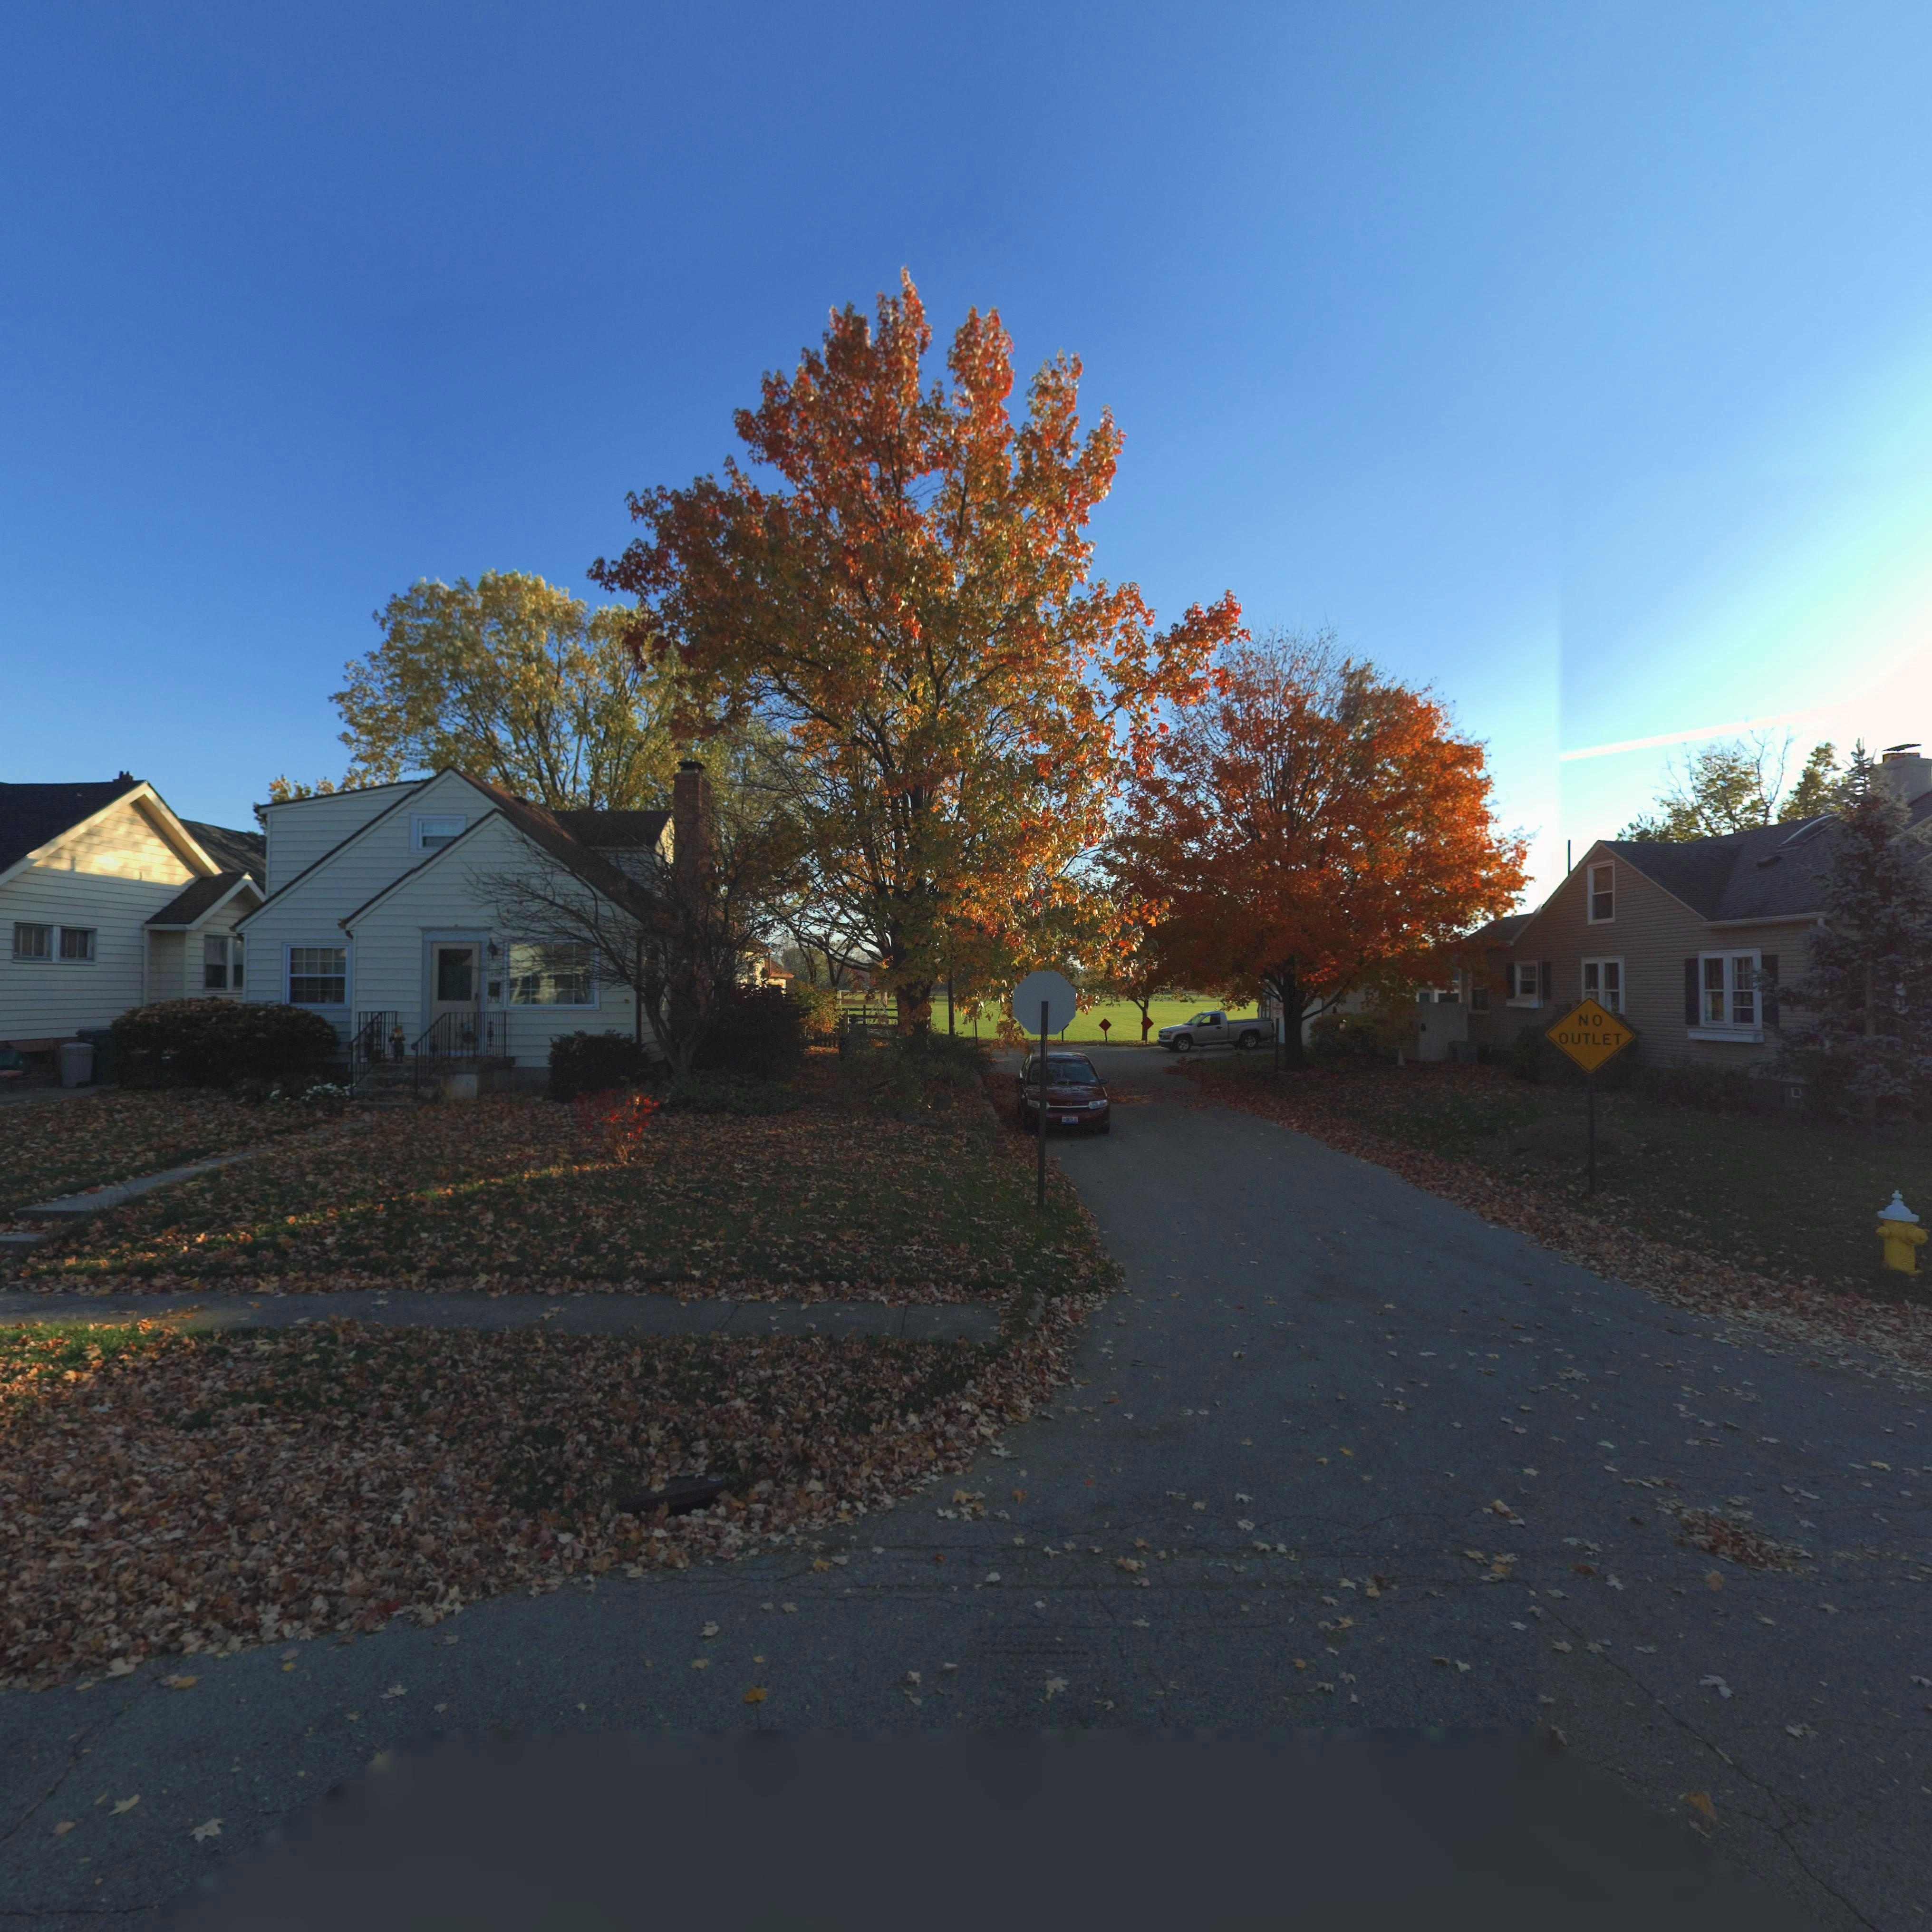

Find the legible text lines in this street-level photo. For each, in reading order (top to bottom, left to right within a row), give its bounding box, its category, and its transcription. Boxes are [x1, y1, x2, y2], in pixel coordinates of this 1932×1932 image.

[489, 970, 502, 978] StreetNumber: *0*